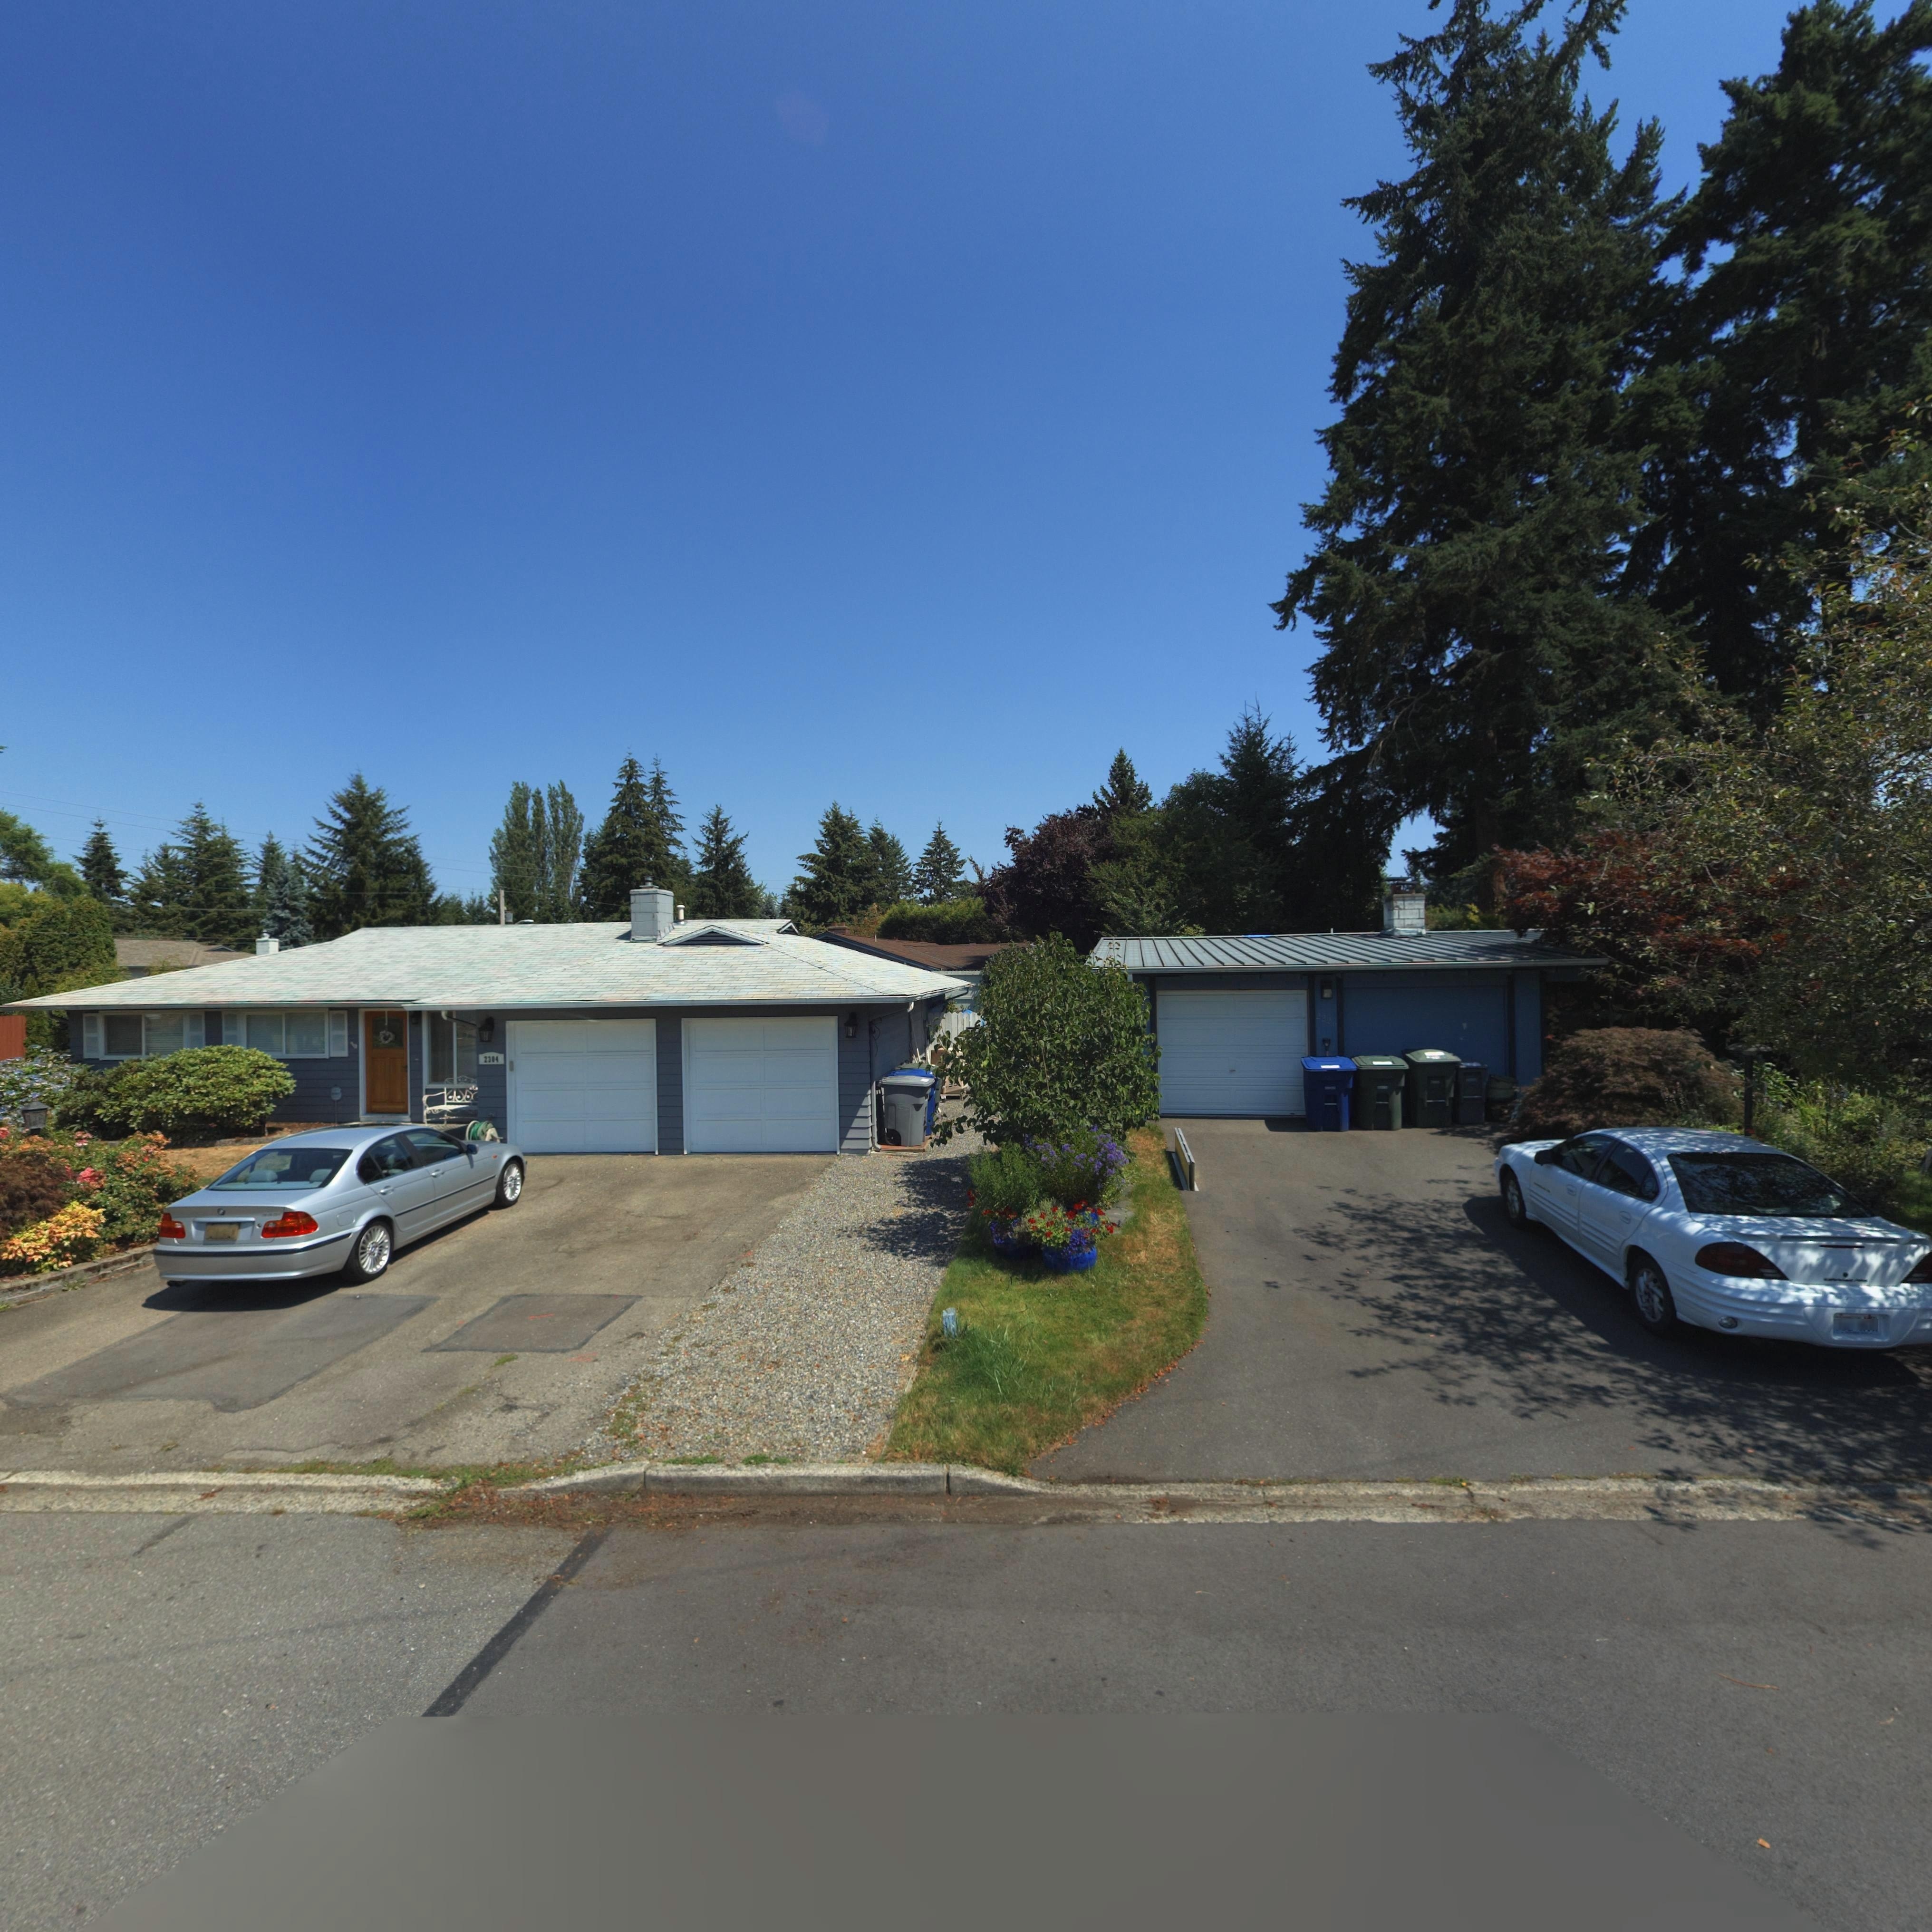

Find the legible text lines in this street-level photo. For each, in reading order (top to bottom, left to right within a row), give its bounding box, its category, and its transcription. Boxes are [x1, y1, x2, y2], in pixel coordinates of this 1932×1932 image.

[483, 1055, 499, 1063] StreetNumber: 2304